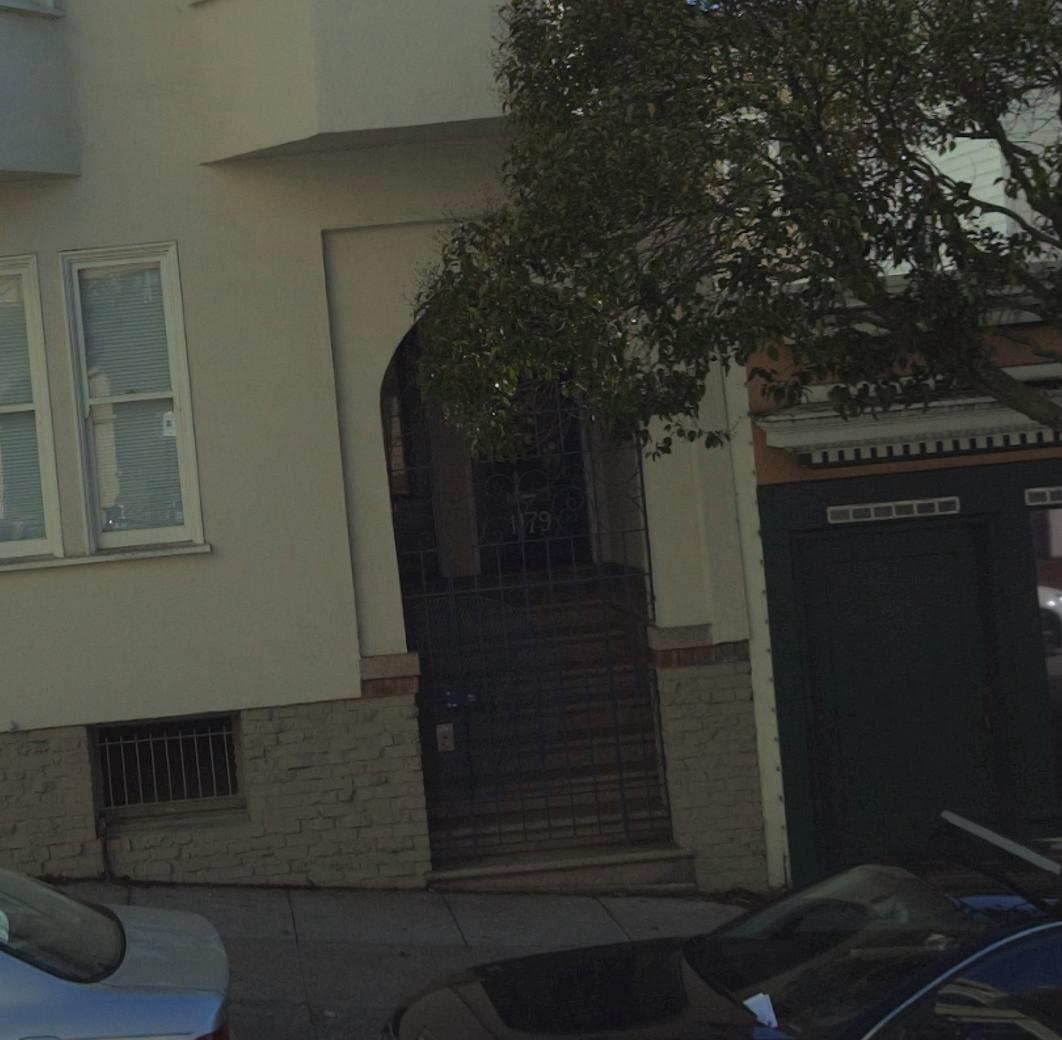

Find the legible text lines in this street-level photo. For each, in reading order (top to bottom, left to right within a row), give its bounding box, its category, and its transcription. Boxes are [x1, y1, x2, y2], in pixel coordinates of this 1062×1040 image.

[508, 508, 553, 536] StreetNumber: 1179